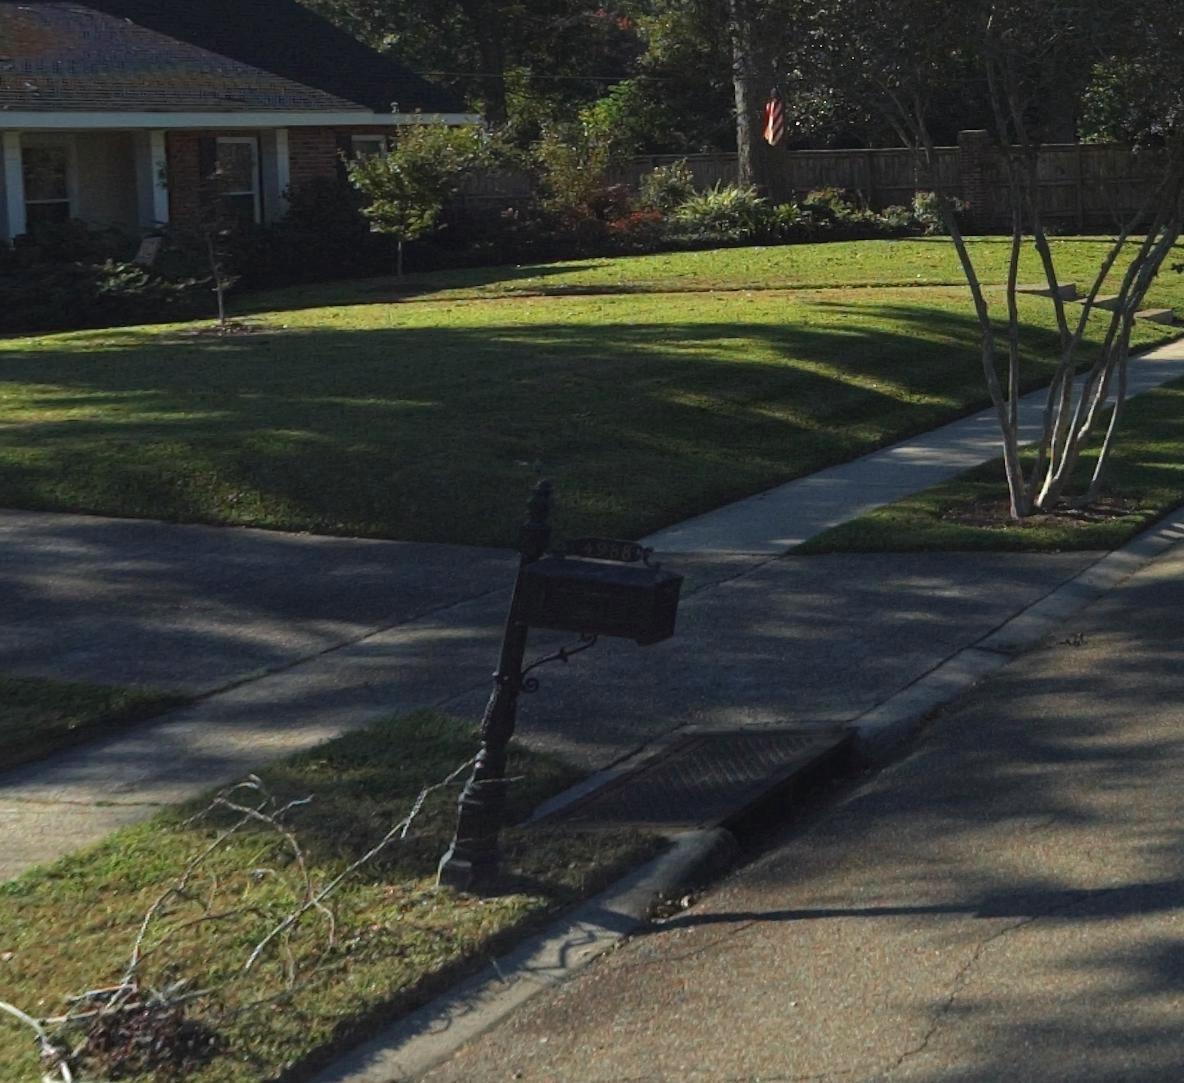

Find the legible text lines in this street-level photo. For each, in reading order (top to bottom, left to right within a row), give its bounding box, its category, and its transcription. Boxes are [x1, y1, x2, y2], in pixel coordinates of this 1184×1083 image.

[580, 539, 633, 563] StreetNumber: 4988